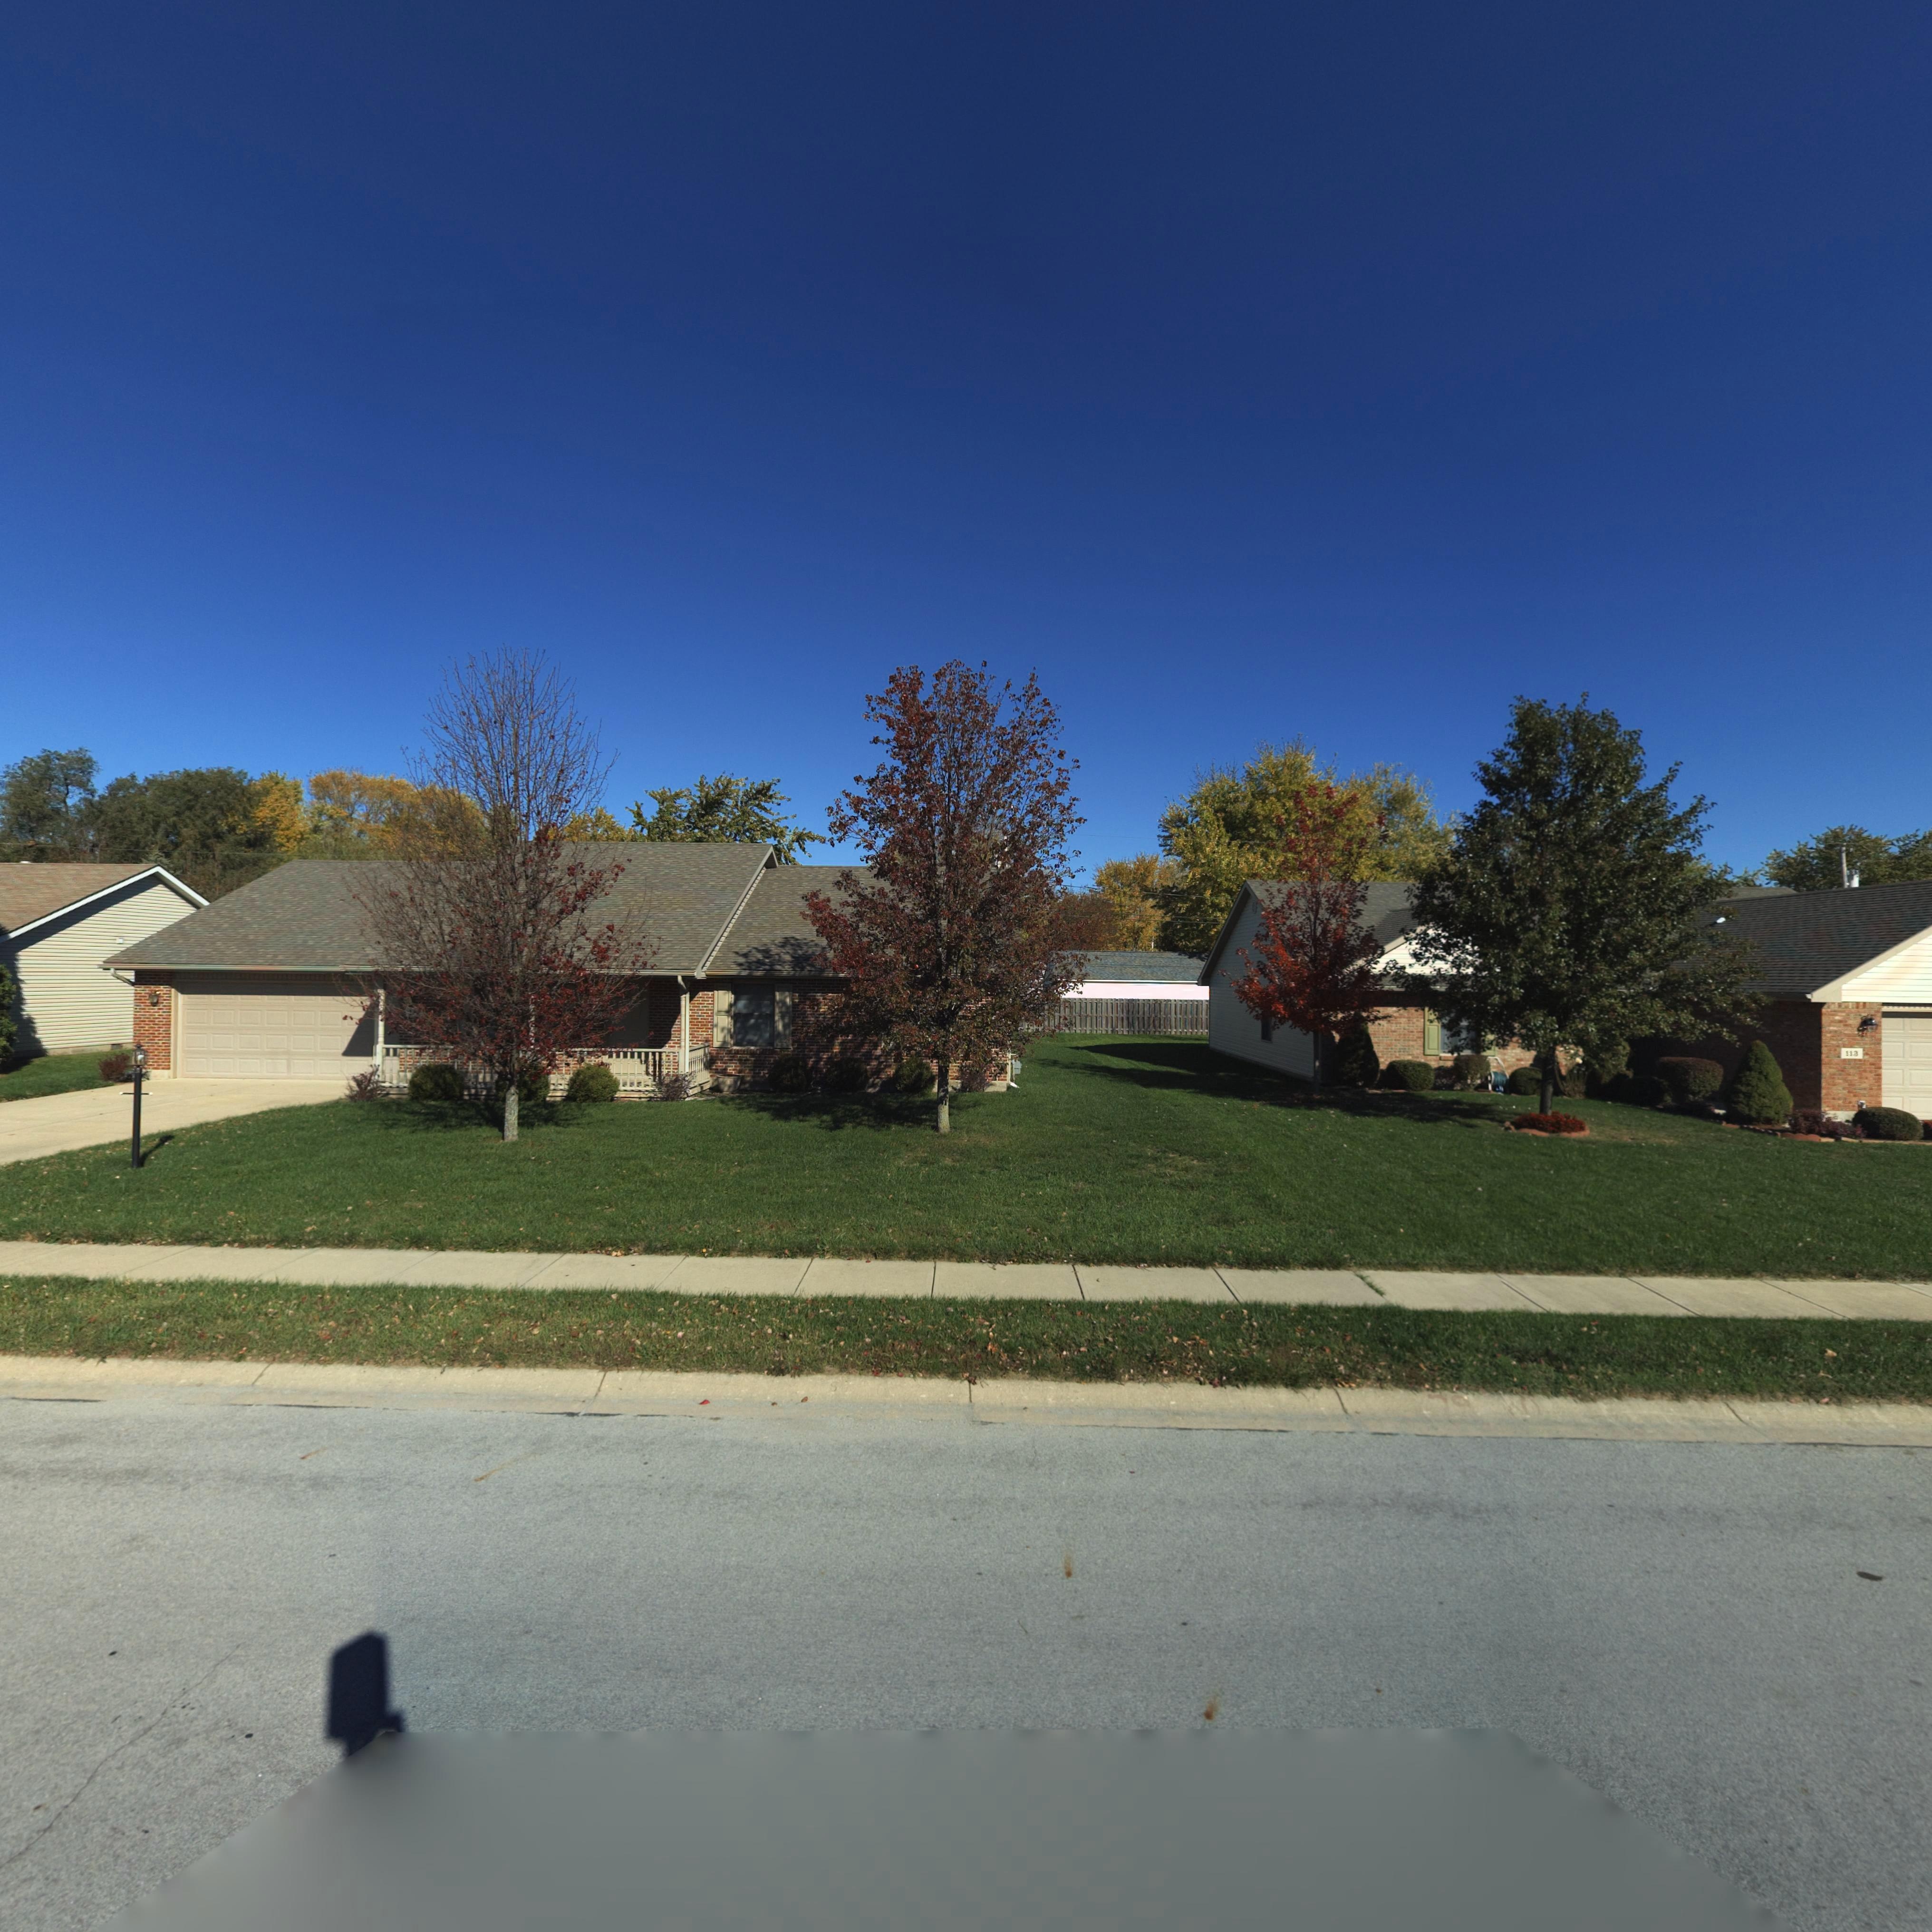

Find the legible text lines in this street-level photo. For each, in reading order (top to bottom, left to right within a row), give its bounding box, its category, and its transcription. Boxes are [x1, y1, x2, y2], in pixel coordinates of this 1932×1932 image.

[1845, 1050, 1858, 1057] StreetNumber: 113